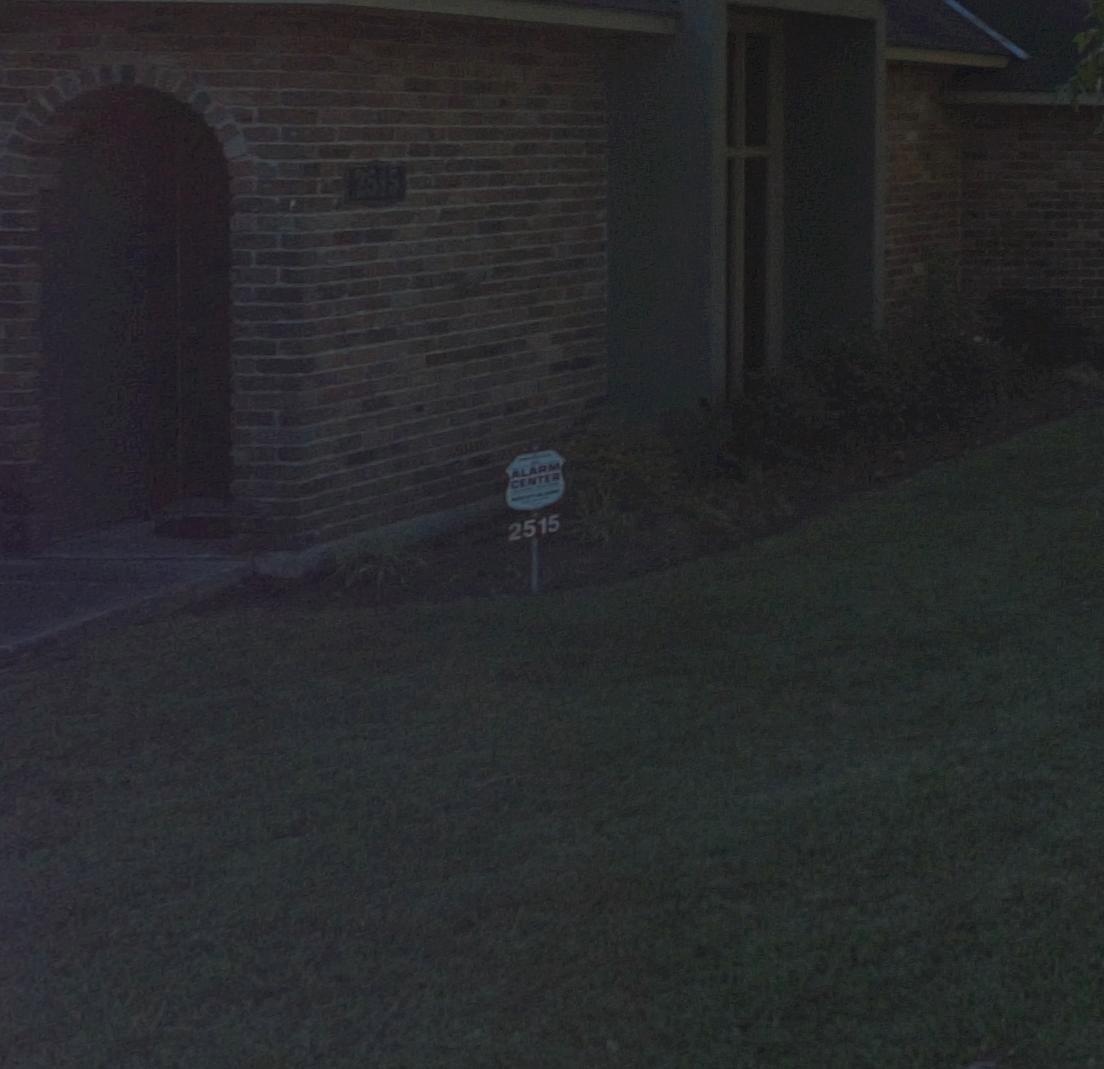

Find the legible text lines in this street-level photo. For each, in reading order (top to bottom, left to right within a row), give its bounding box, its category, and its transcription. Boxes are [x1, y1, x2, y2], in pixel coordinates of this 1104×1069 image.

[347, 165, 403, 203] StreetNumber: 2515
[508, 469, 562, 492] None: CENTER
[509, 459, 563, 482] None: ALARM
[506, 510, 563, 545] StreetNumber: 2515